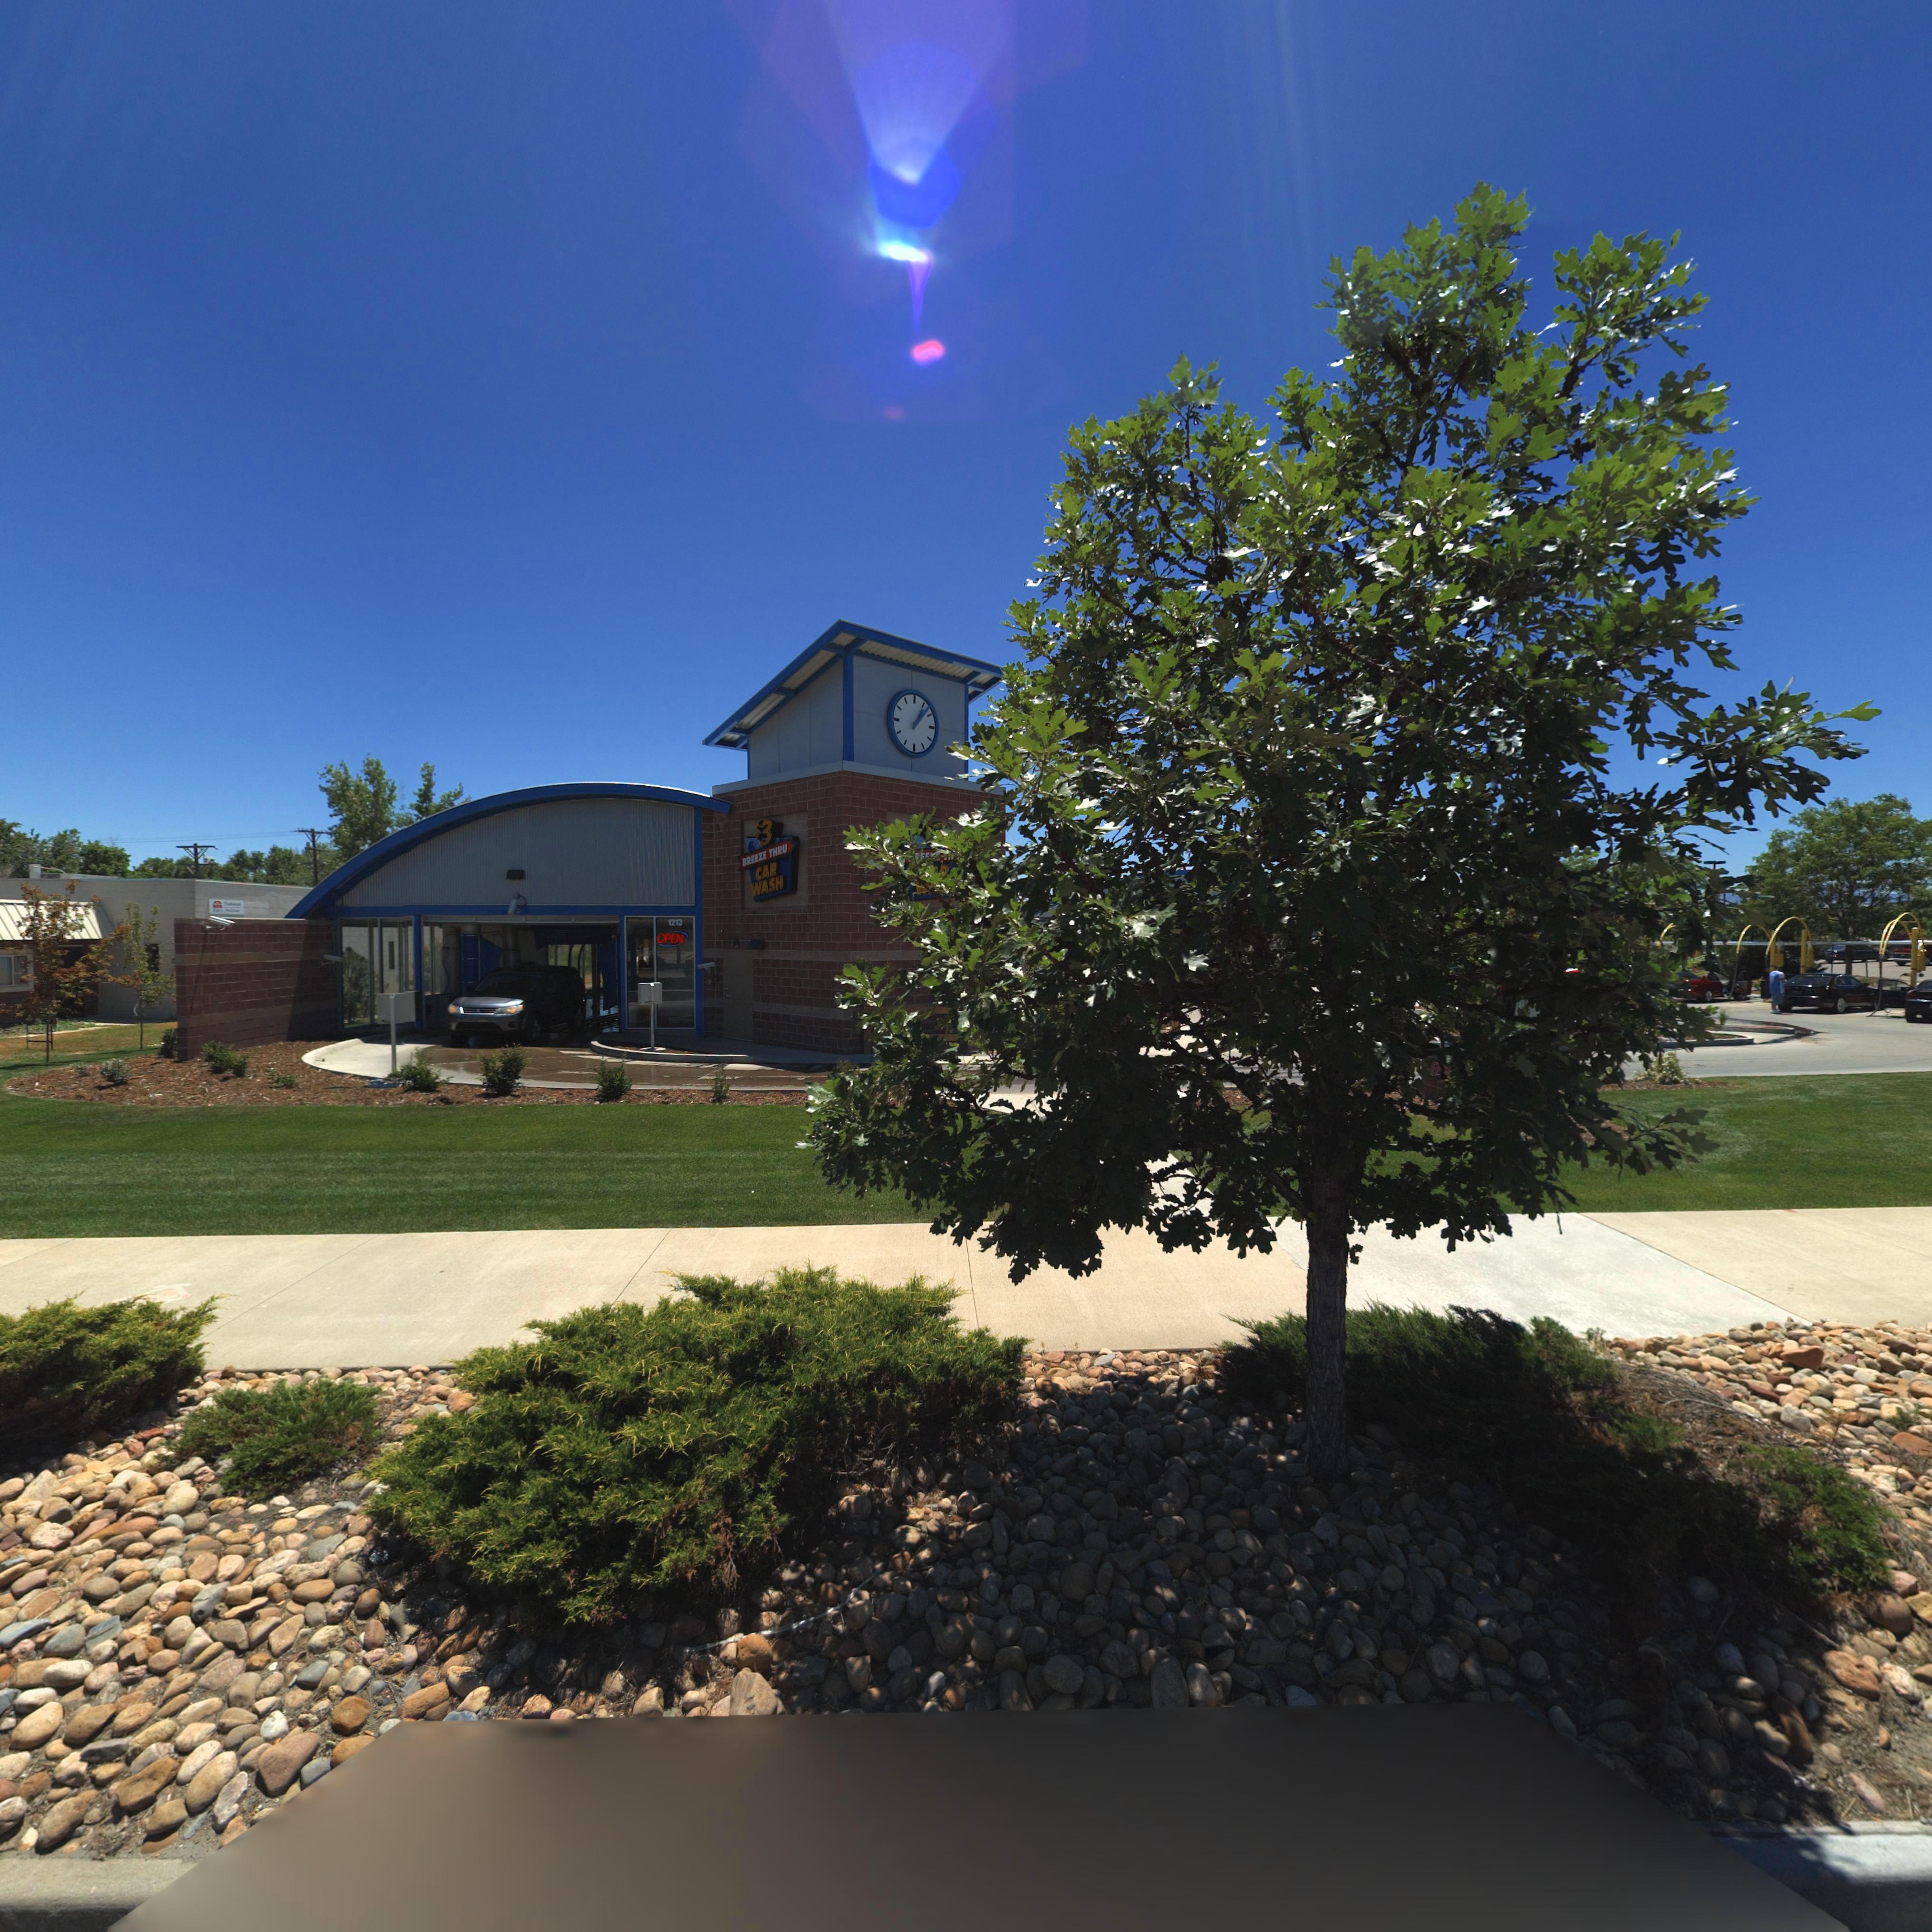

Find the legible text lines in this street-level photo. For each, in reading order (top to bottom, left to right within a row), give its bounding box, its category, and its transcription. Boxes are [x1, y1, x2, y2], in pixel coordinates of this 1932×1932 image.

[742, 842, 789, 867] BusinessName: BREEZE THRU
[754, 861, 778, 881] BusinessName: CAR
[749, 874, 784, 897] BusinessName: WASH
[667, 918, 683, 926] StreetNumber: 1213